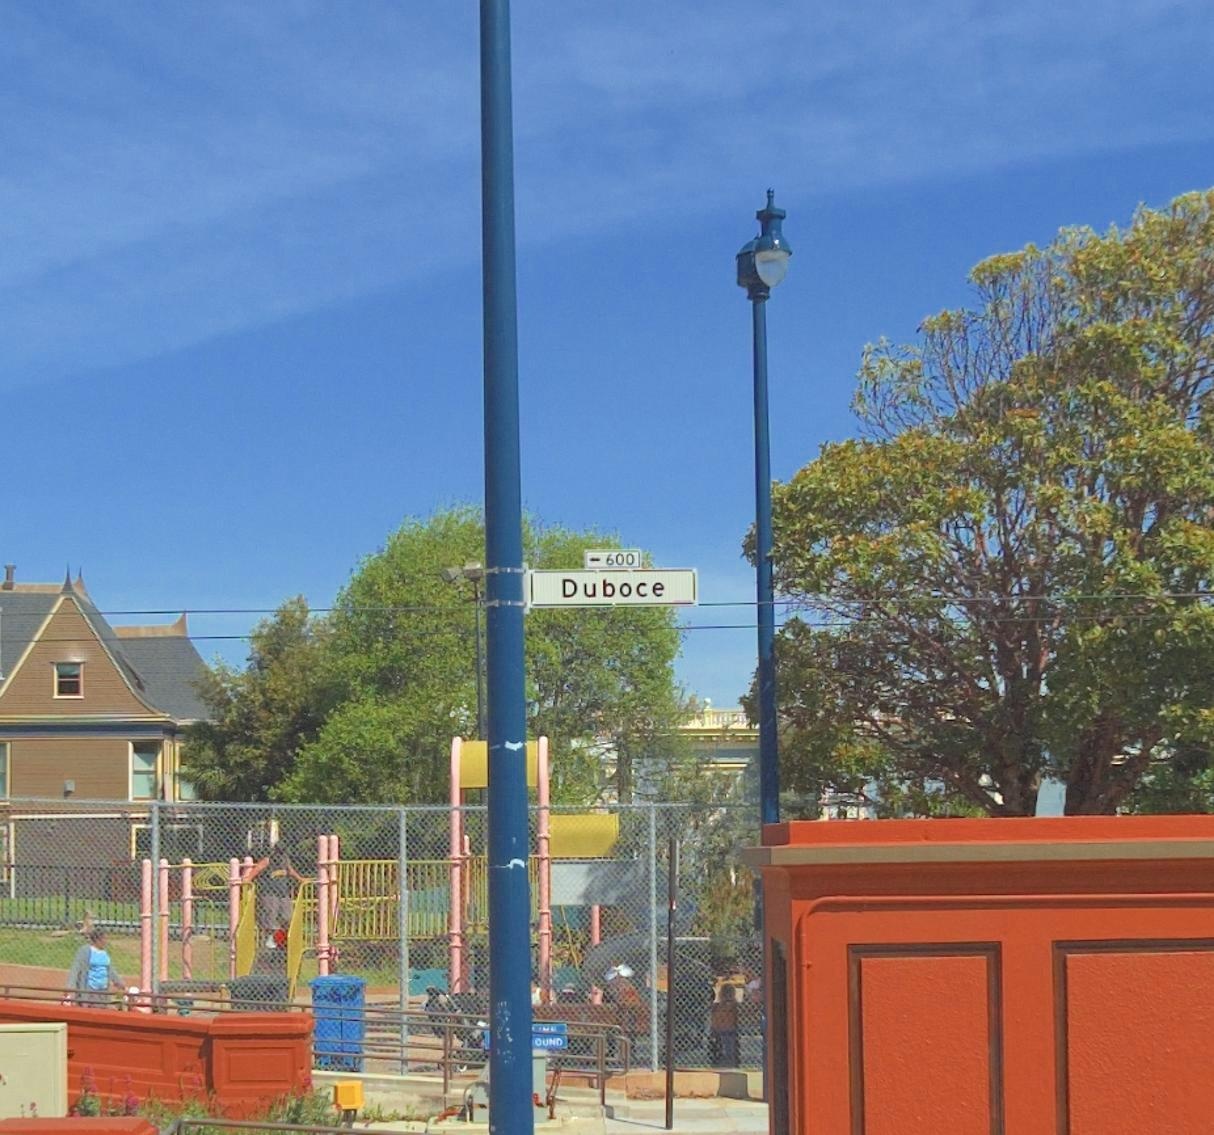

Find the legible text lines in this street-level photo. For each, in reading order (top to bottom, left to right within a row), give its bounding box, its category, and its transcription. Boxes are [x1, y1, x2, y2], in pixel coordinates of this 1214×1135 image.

[586, 551, 635, 567] StreetNumberRange: <-600
[562, 576, 665, 601] StreetName: Duboce